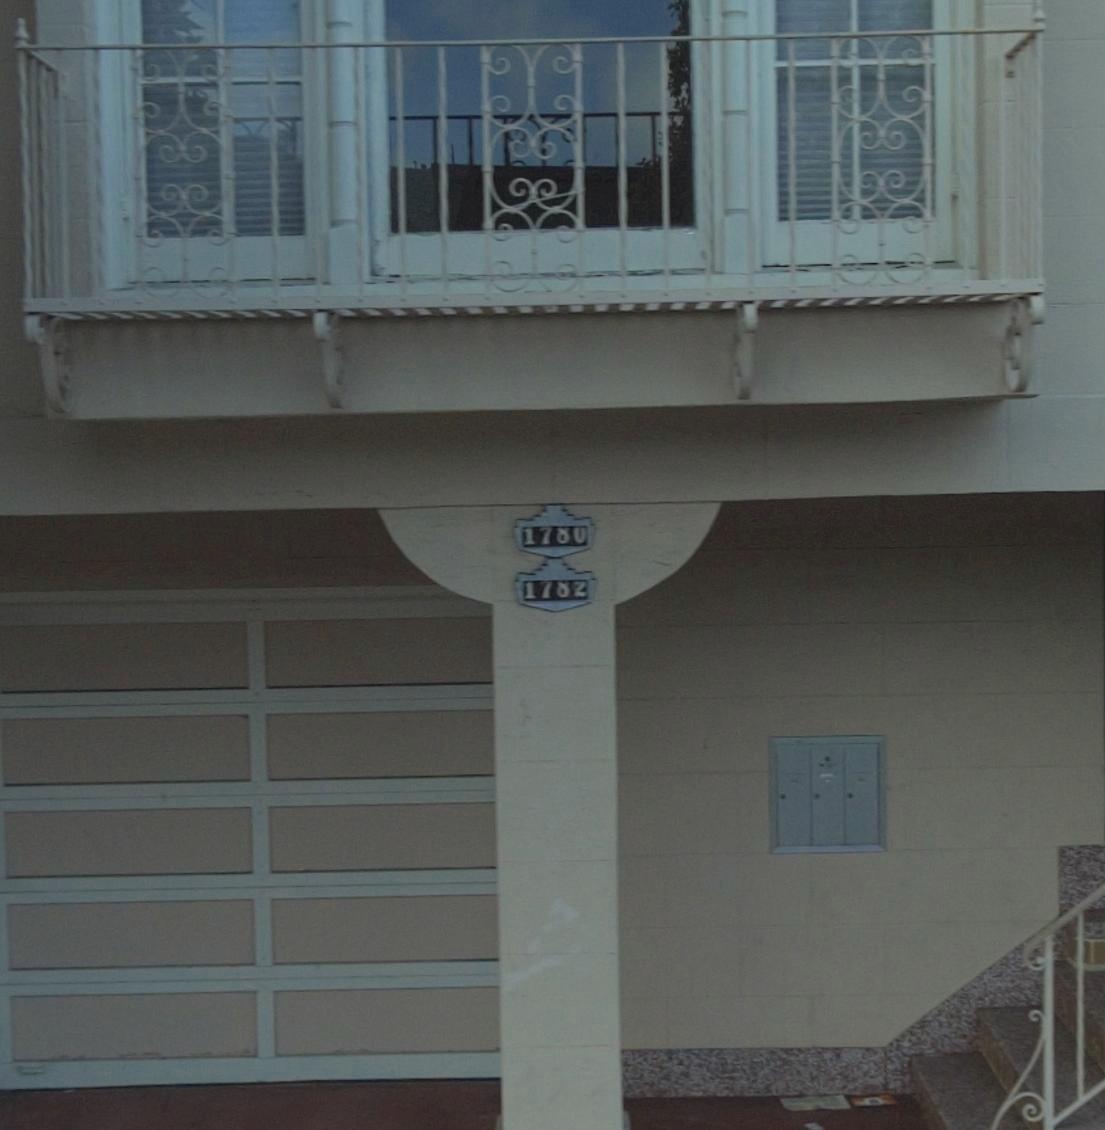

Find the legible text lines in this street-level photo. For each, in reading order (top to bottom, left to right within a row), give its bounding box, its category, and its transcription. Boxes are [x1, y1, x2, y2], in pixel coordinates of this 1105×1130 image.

[520, 524, 587, 548] StreetNumber: 1780
[523, 578, 590, 601] StreetNumber: 1782